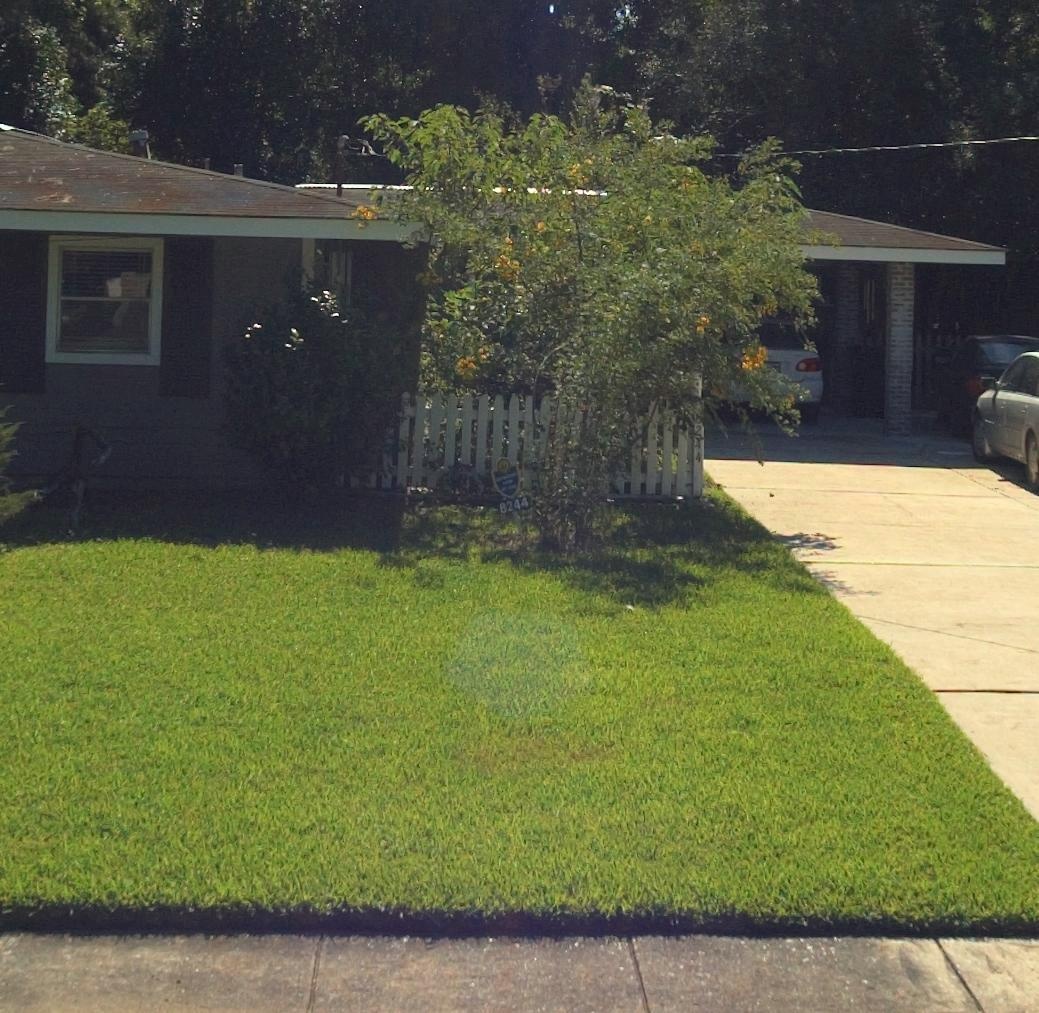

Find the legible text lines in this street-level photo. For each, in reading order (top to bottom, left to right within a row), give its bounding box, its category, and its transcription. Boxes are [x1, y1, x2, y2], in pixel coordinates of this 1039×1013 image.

[495, 493, 532, 517] StreetNumber: 8244